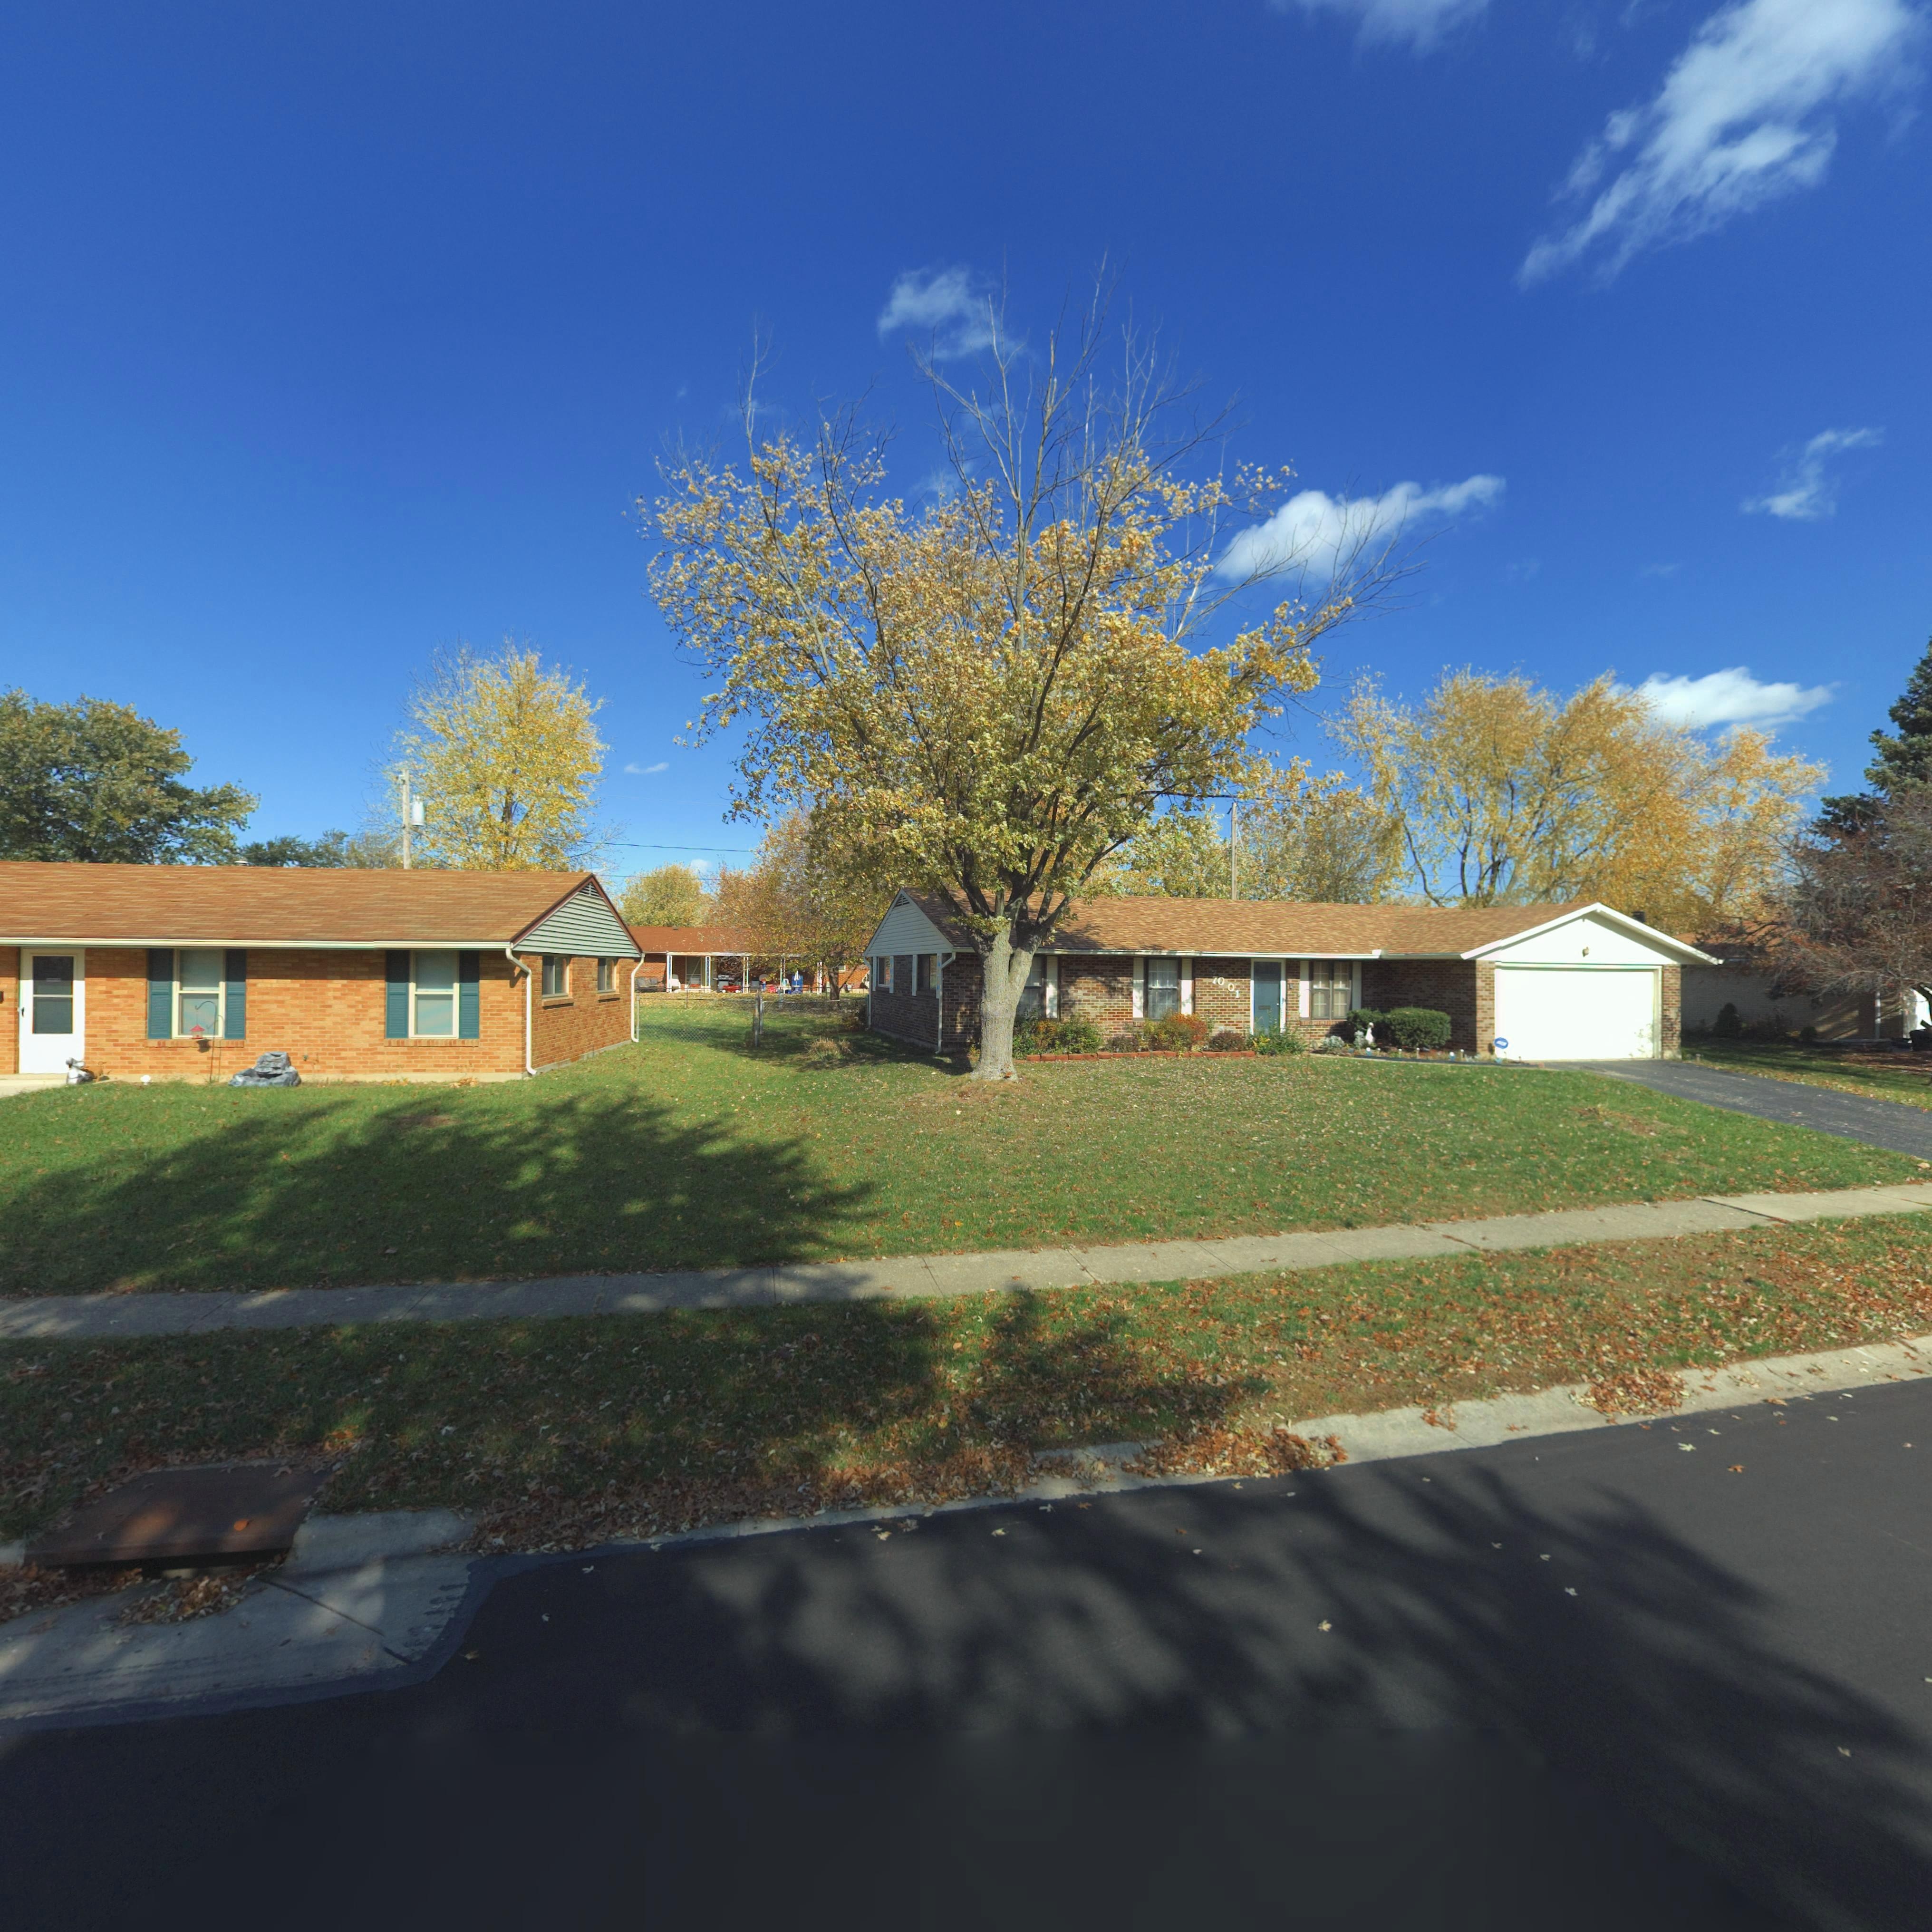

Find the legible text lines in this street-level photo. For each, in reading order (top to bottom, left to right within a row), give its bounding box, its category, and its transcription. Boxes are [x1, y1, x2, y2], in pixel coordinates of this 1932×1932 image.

[1211, 975, 1240, 999] StreetNumber: 7001